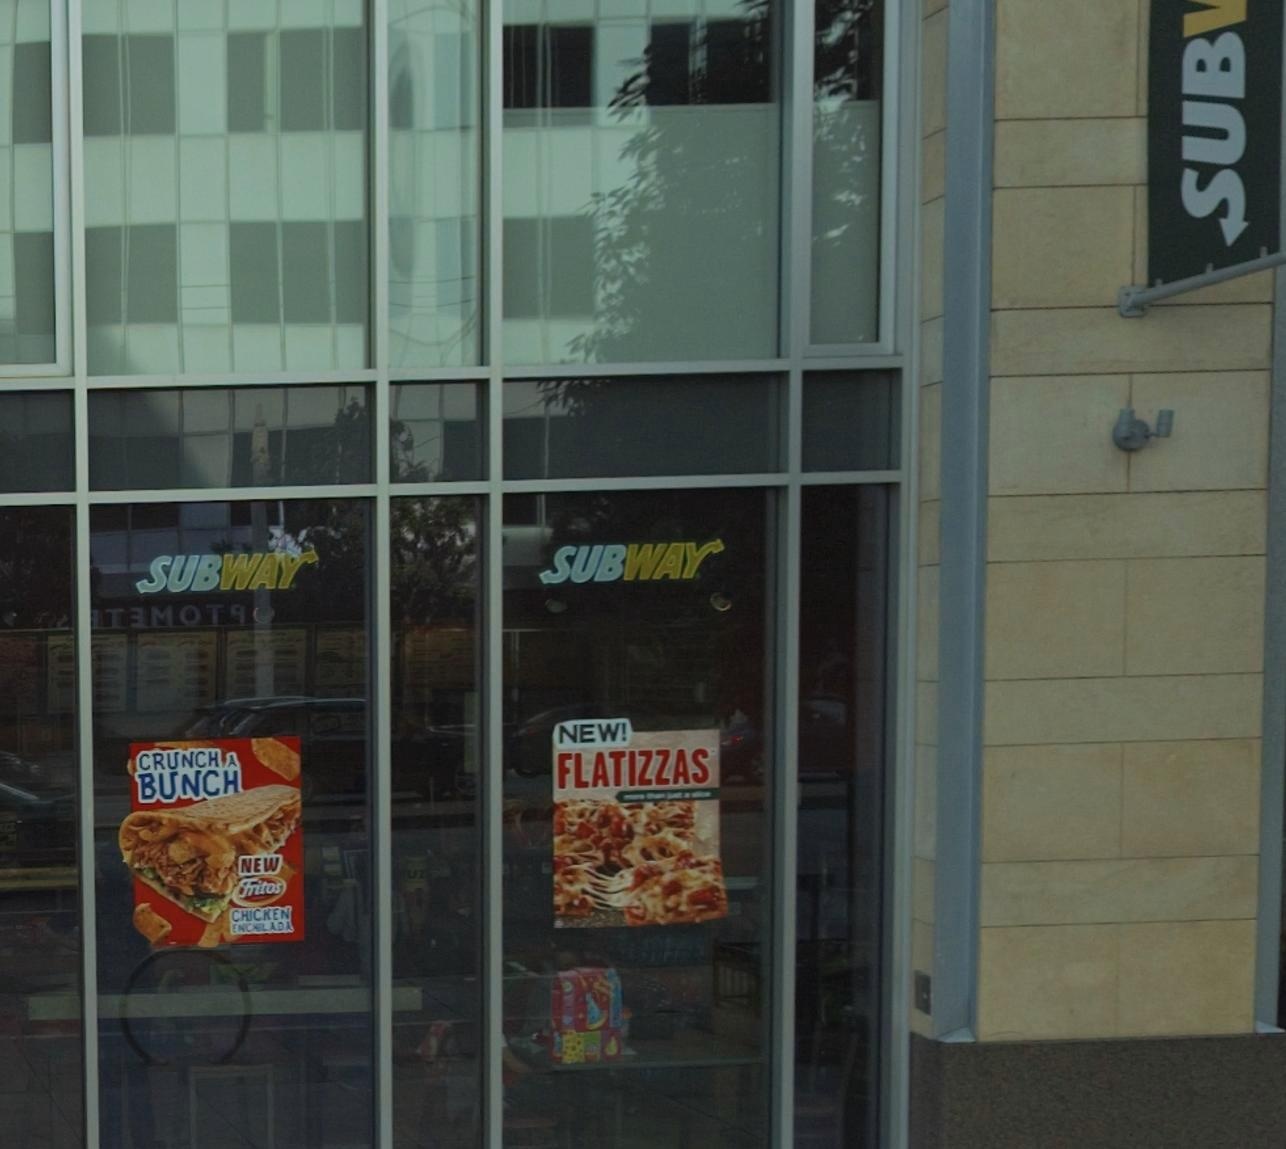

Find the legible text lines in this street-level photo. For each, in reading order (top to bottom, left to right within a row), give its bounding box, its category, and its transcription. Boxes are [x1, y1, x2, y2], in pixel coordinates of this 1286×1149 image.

[1174, 17, 1255, 257] BusinessName: SUB
[128, 545, 324, 600] BusinessName: SUBWAY
[535, 535, 730, 588] BusinessName: SUBWAY
[102, 599, 251, 634] None: T*MOT*
[556, 720, 631, 747] None: NEW!
[132, 744, 244, 775] None: CRUNCH A
[555, 744, 715, 792] None: FLATIZZAS
[134, 766, 245, 807] None: BUNCH
[238, 854, 283, 875] None: NEW
[236, 875, 286, 902] None: Fritos
[229, 904, 293, 925] None: CHICKEN
[230, 919, 296, 936] None: ENC**LADA